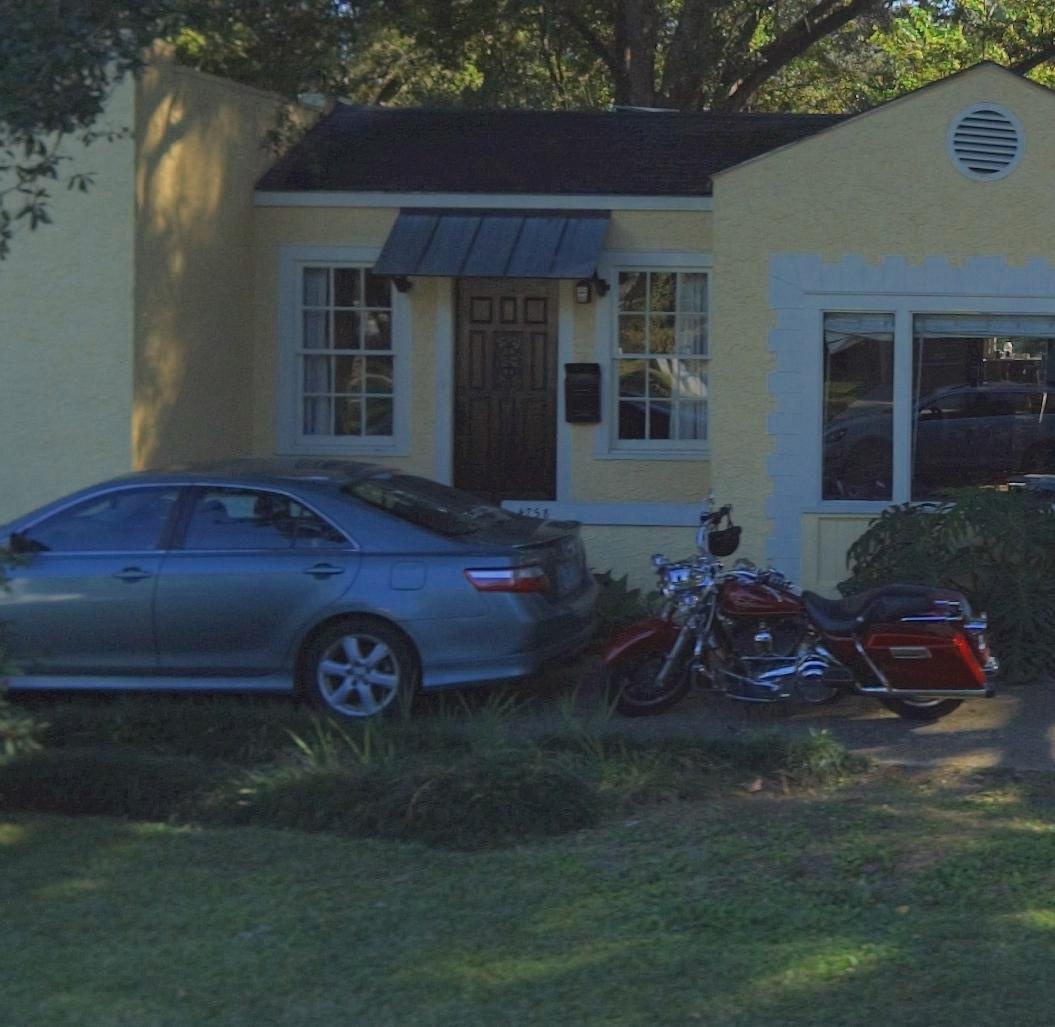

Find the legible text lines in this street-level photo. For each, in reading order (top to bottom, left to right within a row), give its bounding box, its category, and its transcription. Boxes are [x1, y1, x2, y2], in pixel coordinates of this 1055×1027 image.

[523, 505, 552, 520] StreetNumber: 758